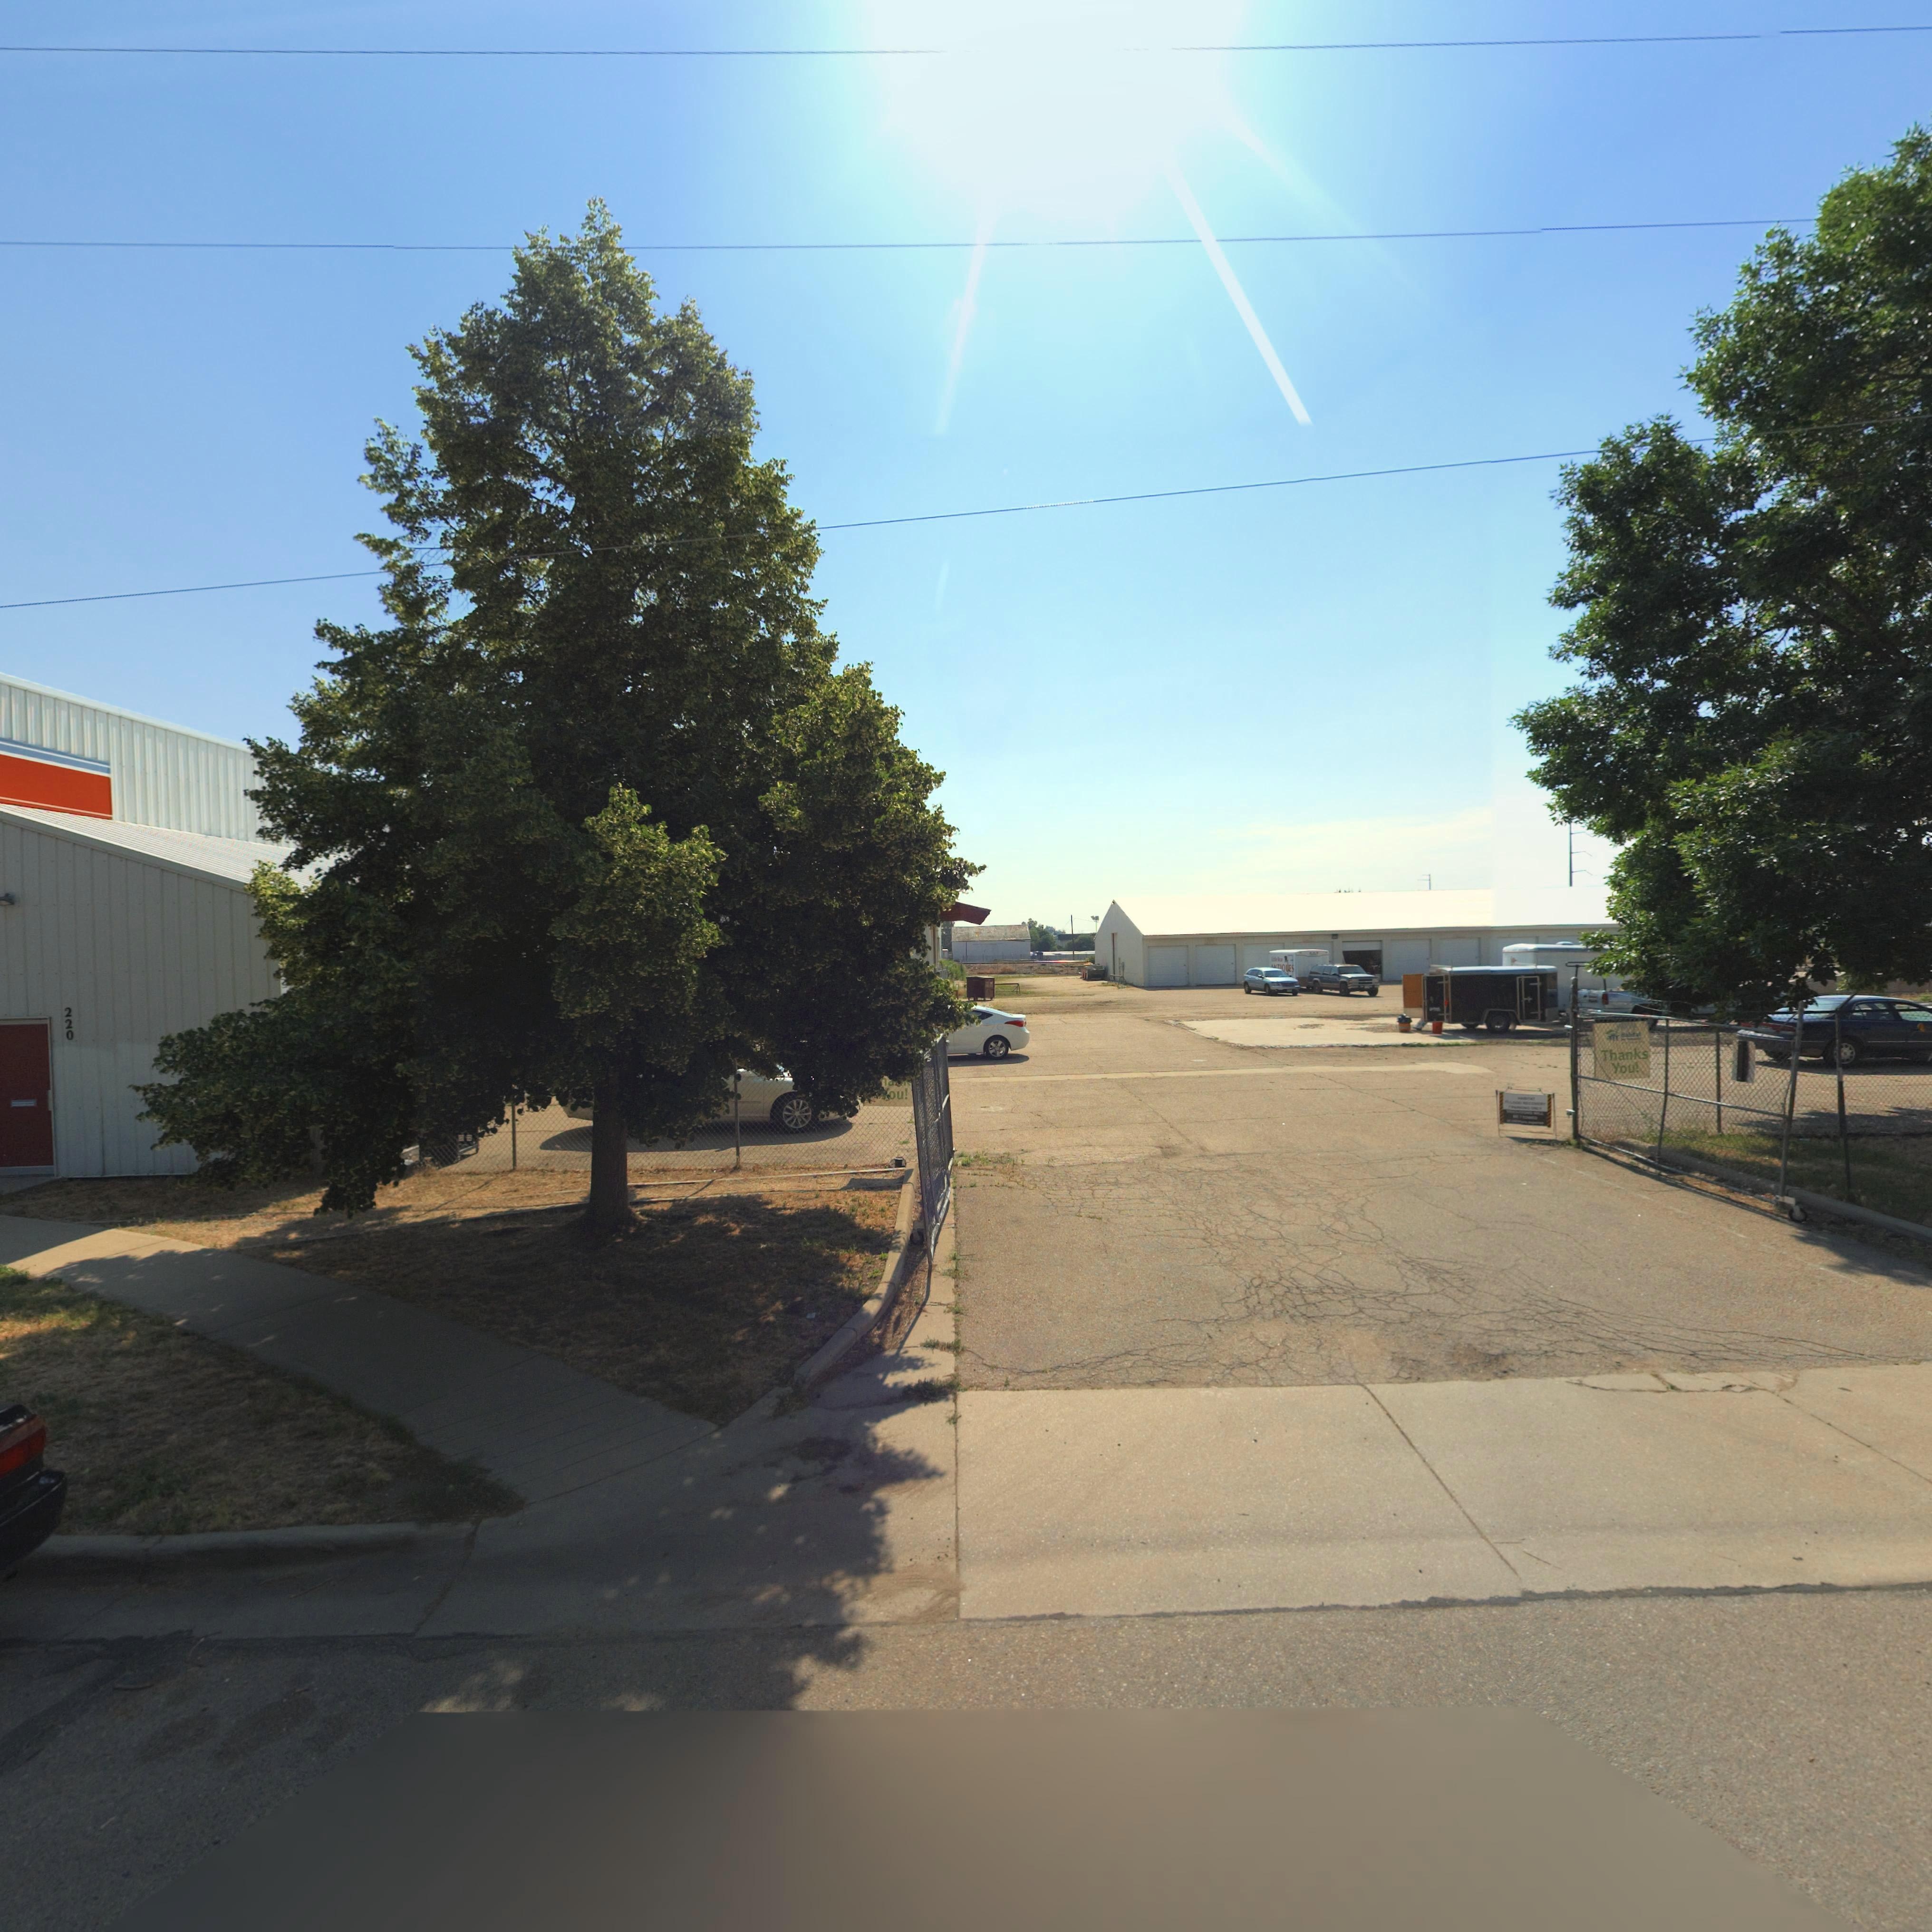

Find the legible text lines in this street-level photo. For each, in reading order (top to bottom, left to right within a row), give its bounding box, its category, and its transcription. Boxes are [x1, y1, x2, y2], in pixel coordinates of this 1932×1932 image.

[64, 1006, 74, 1041] StreetNumber: 220